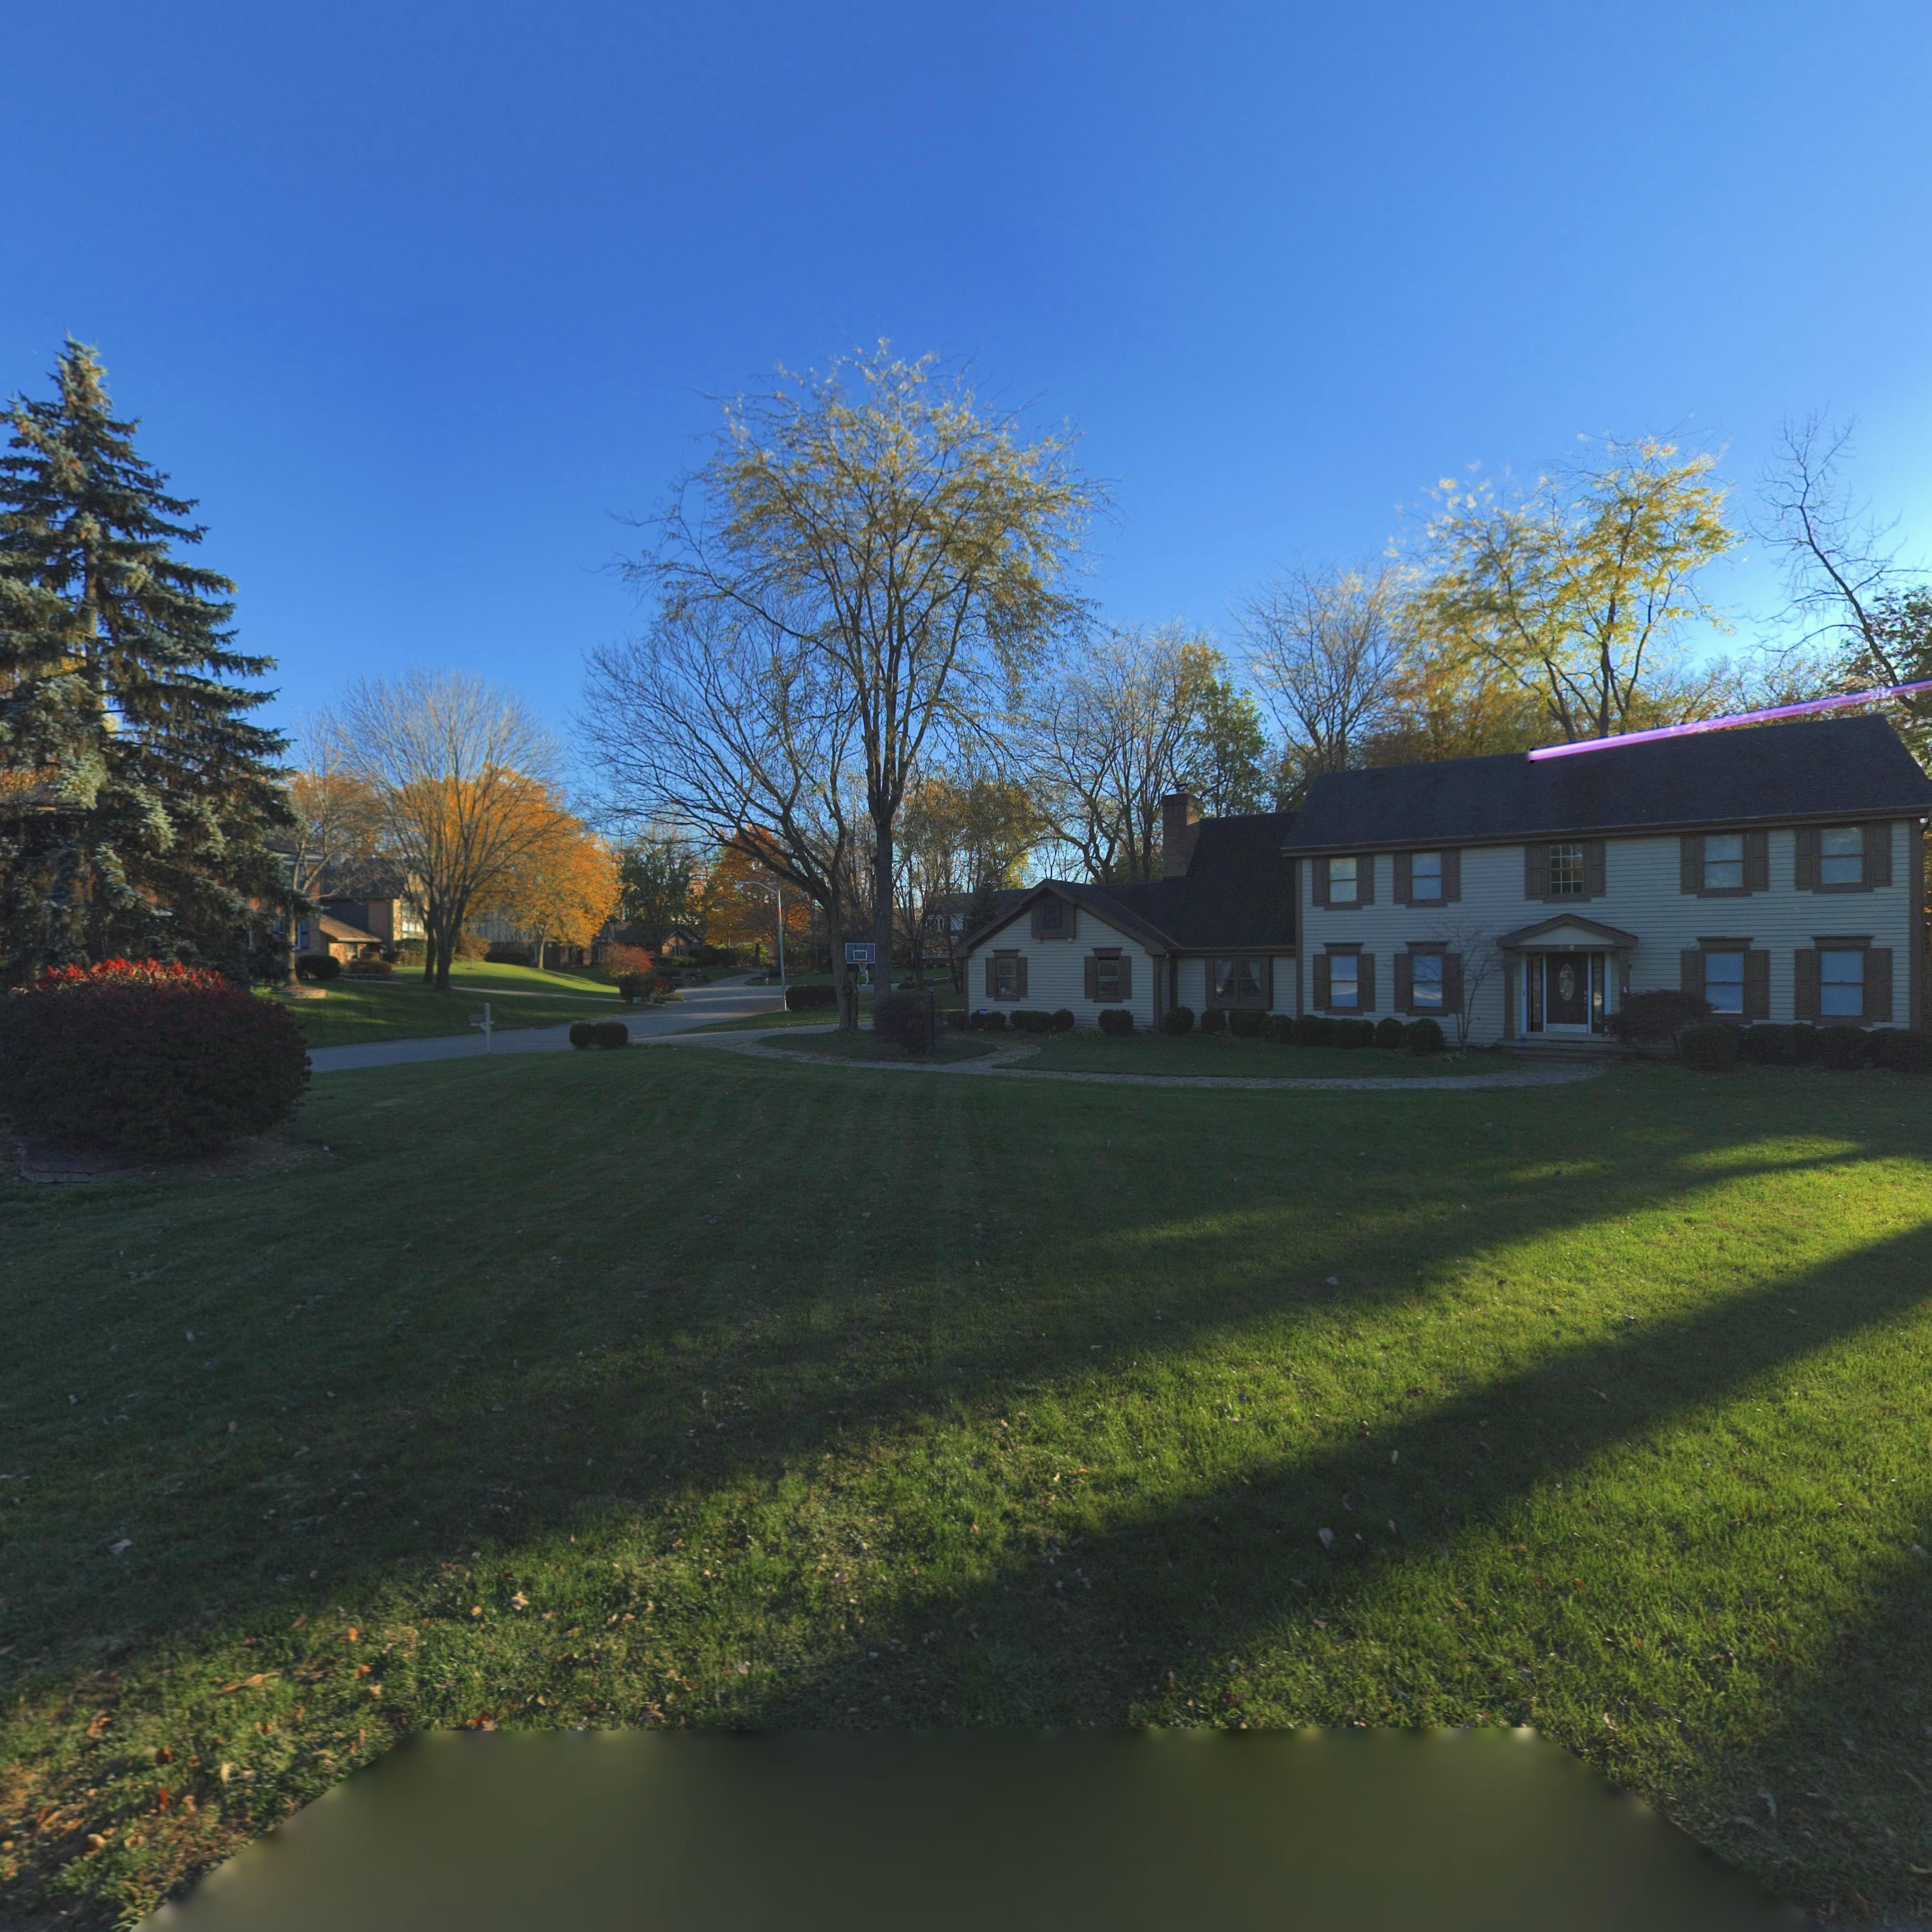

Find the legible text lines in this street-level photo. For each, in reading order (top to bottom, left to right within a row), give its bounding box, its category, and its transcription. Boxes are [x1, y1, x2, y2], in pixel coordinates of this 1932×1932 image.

[1558, 945, 1575, 951] StreetNumber: **2